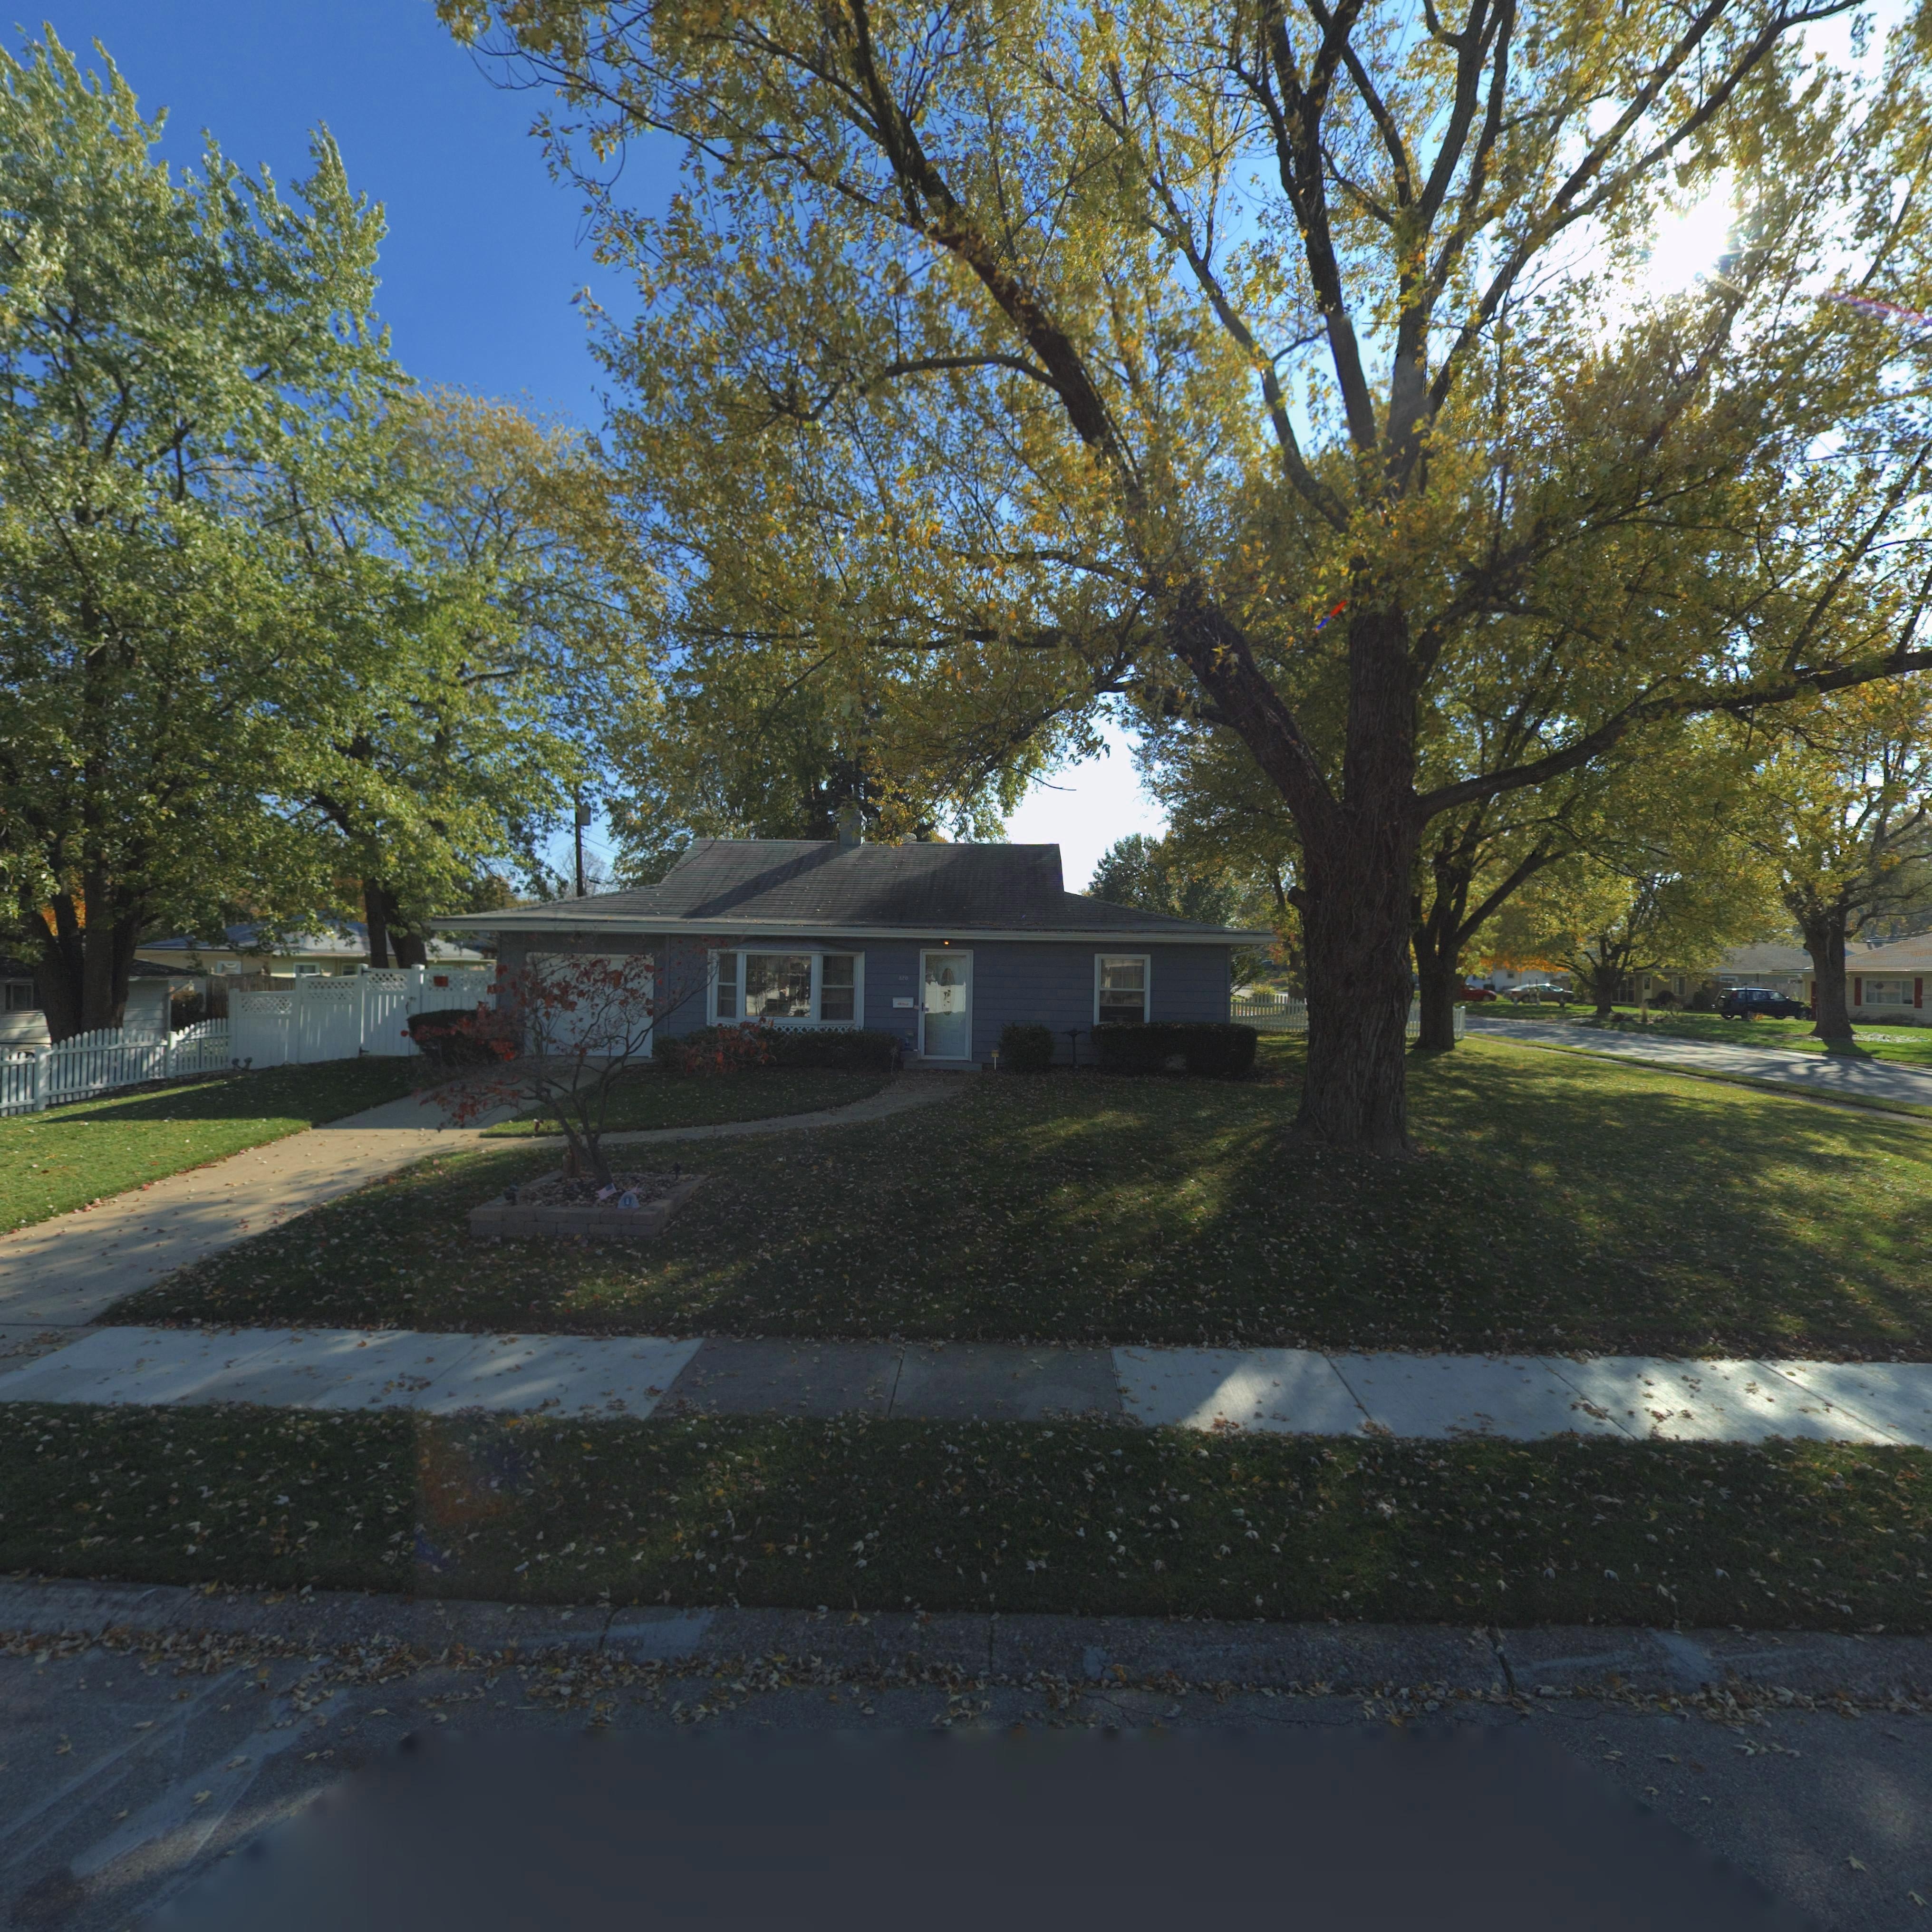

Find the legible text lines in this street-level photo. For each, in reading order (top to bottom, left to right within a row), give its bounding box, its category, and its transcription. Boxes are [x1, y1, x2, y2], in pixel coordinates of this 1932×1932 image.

[898, 976, 908, 980] StreetNumber: 820